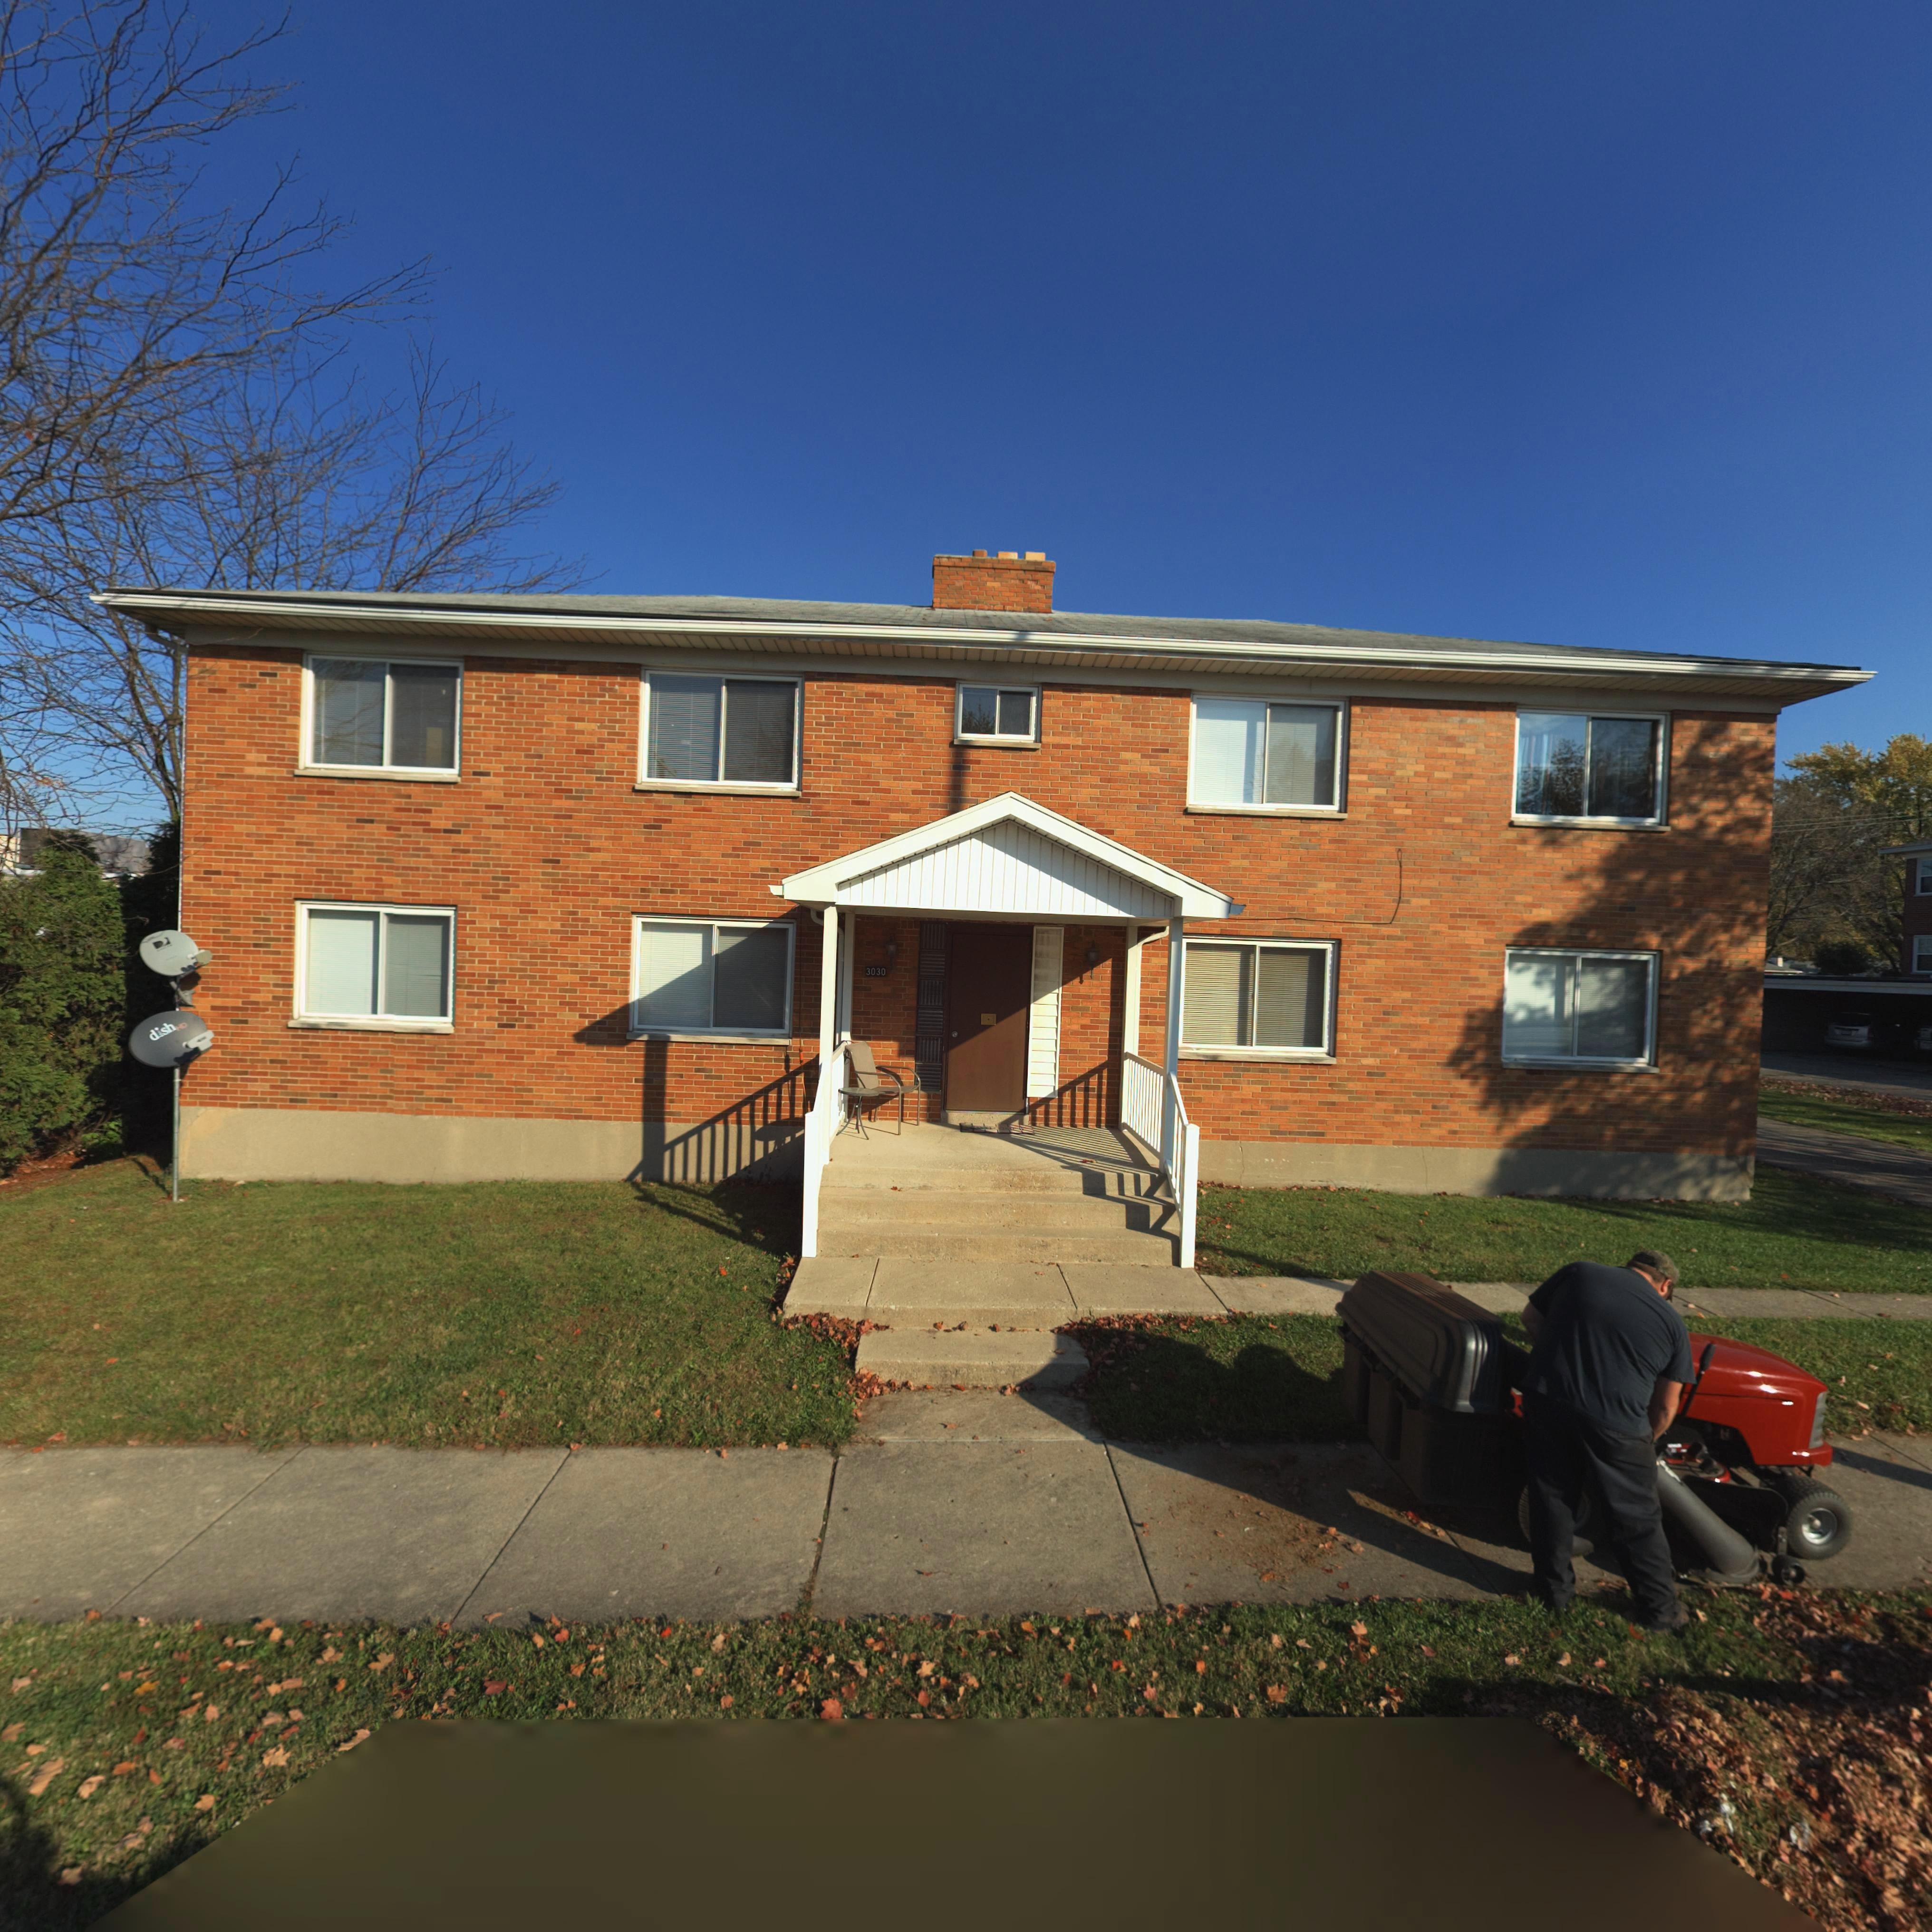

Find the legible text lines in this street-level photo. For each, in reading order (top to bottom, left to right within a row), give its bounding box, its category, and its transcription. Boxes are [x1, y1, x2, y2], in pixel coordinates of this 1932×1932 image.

[865, 967, 886, 976] StreetNumber: 3030